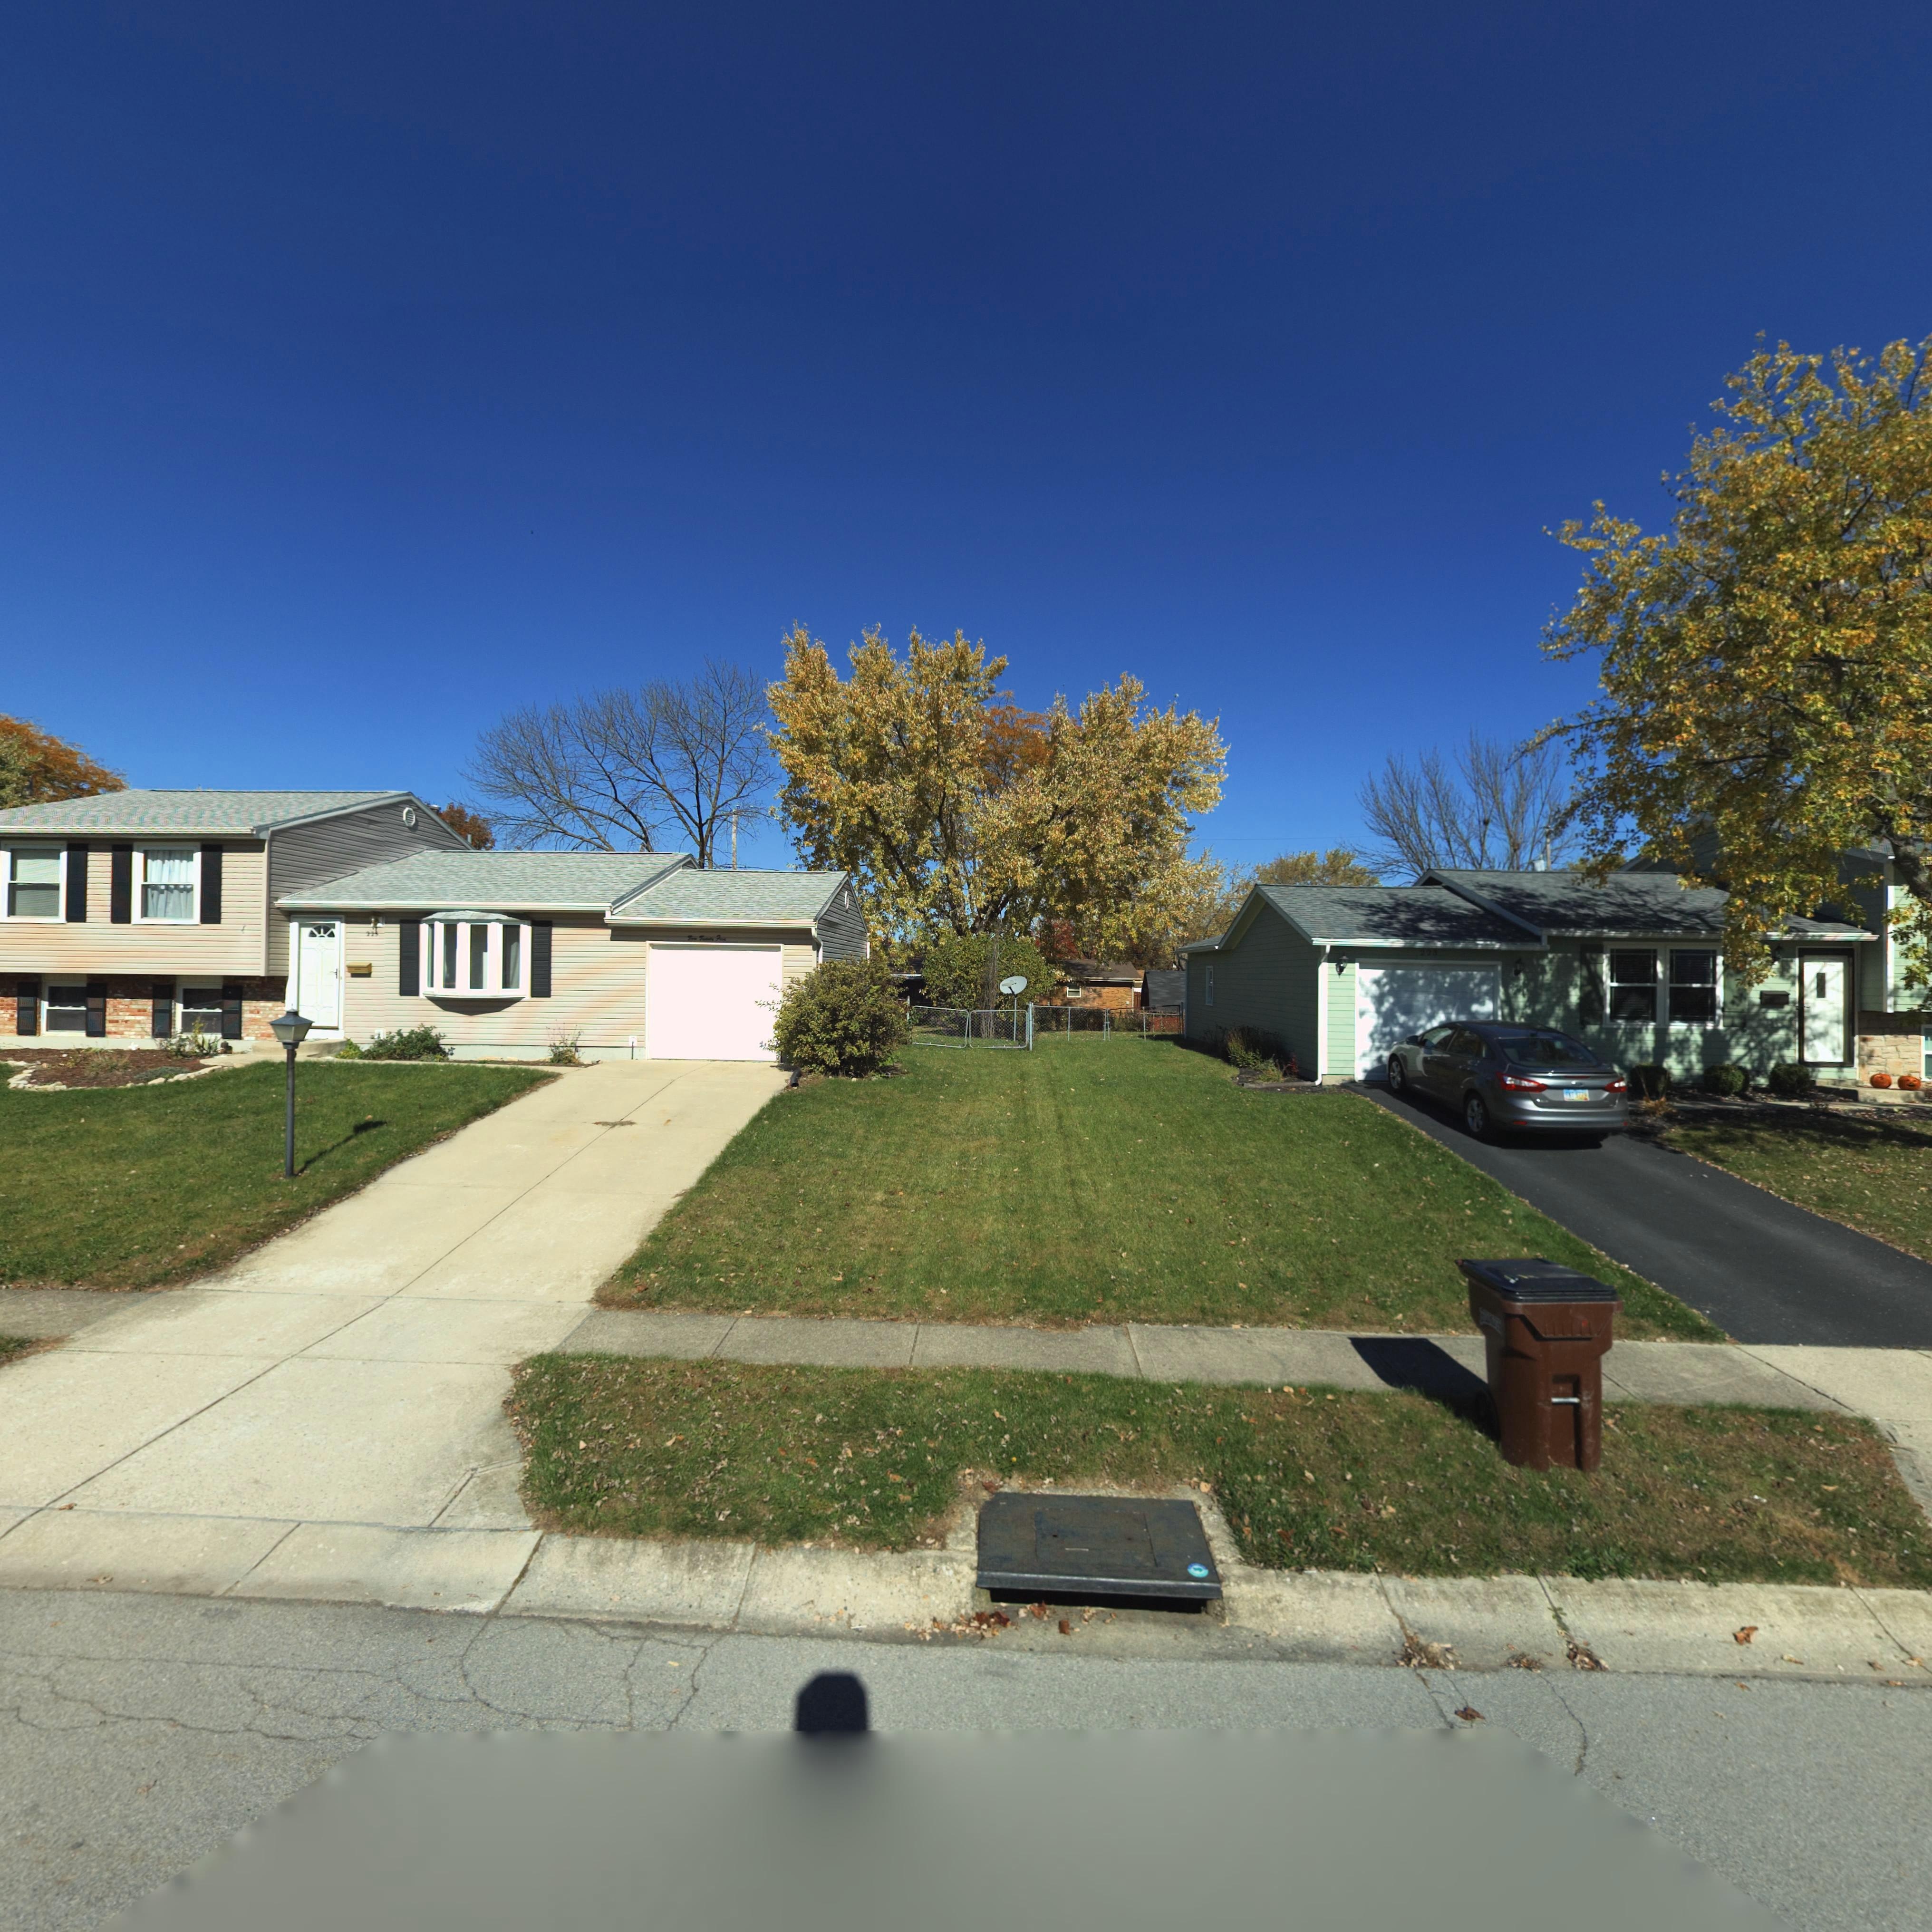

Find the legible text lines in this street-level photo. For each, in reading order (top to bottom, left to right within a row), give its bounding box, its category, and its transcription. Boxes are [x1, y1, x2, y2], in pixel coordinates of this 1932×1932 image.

[366, 931, 378, 937] StreetNumber: 22*
[687, 934, 727, 942] StreetNumber: Two Twenty Five
[1419, 948, 1438, 956] StreetNumber: 223